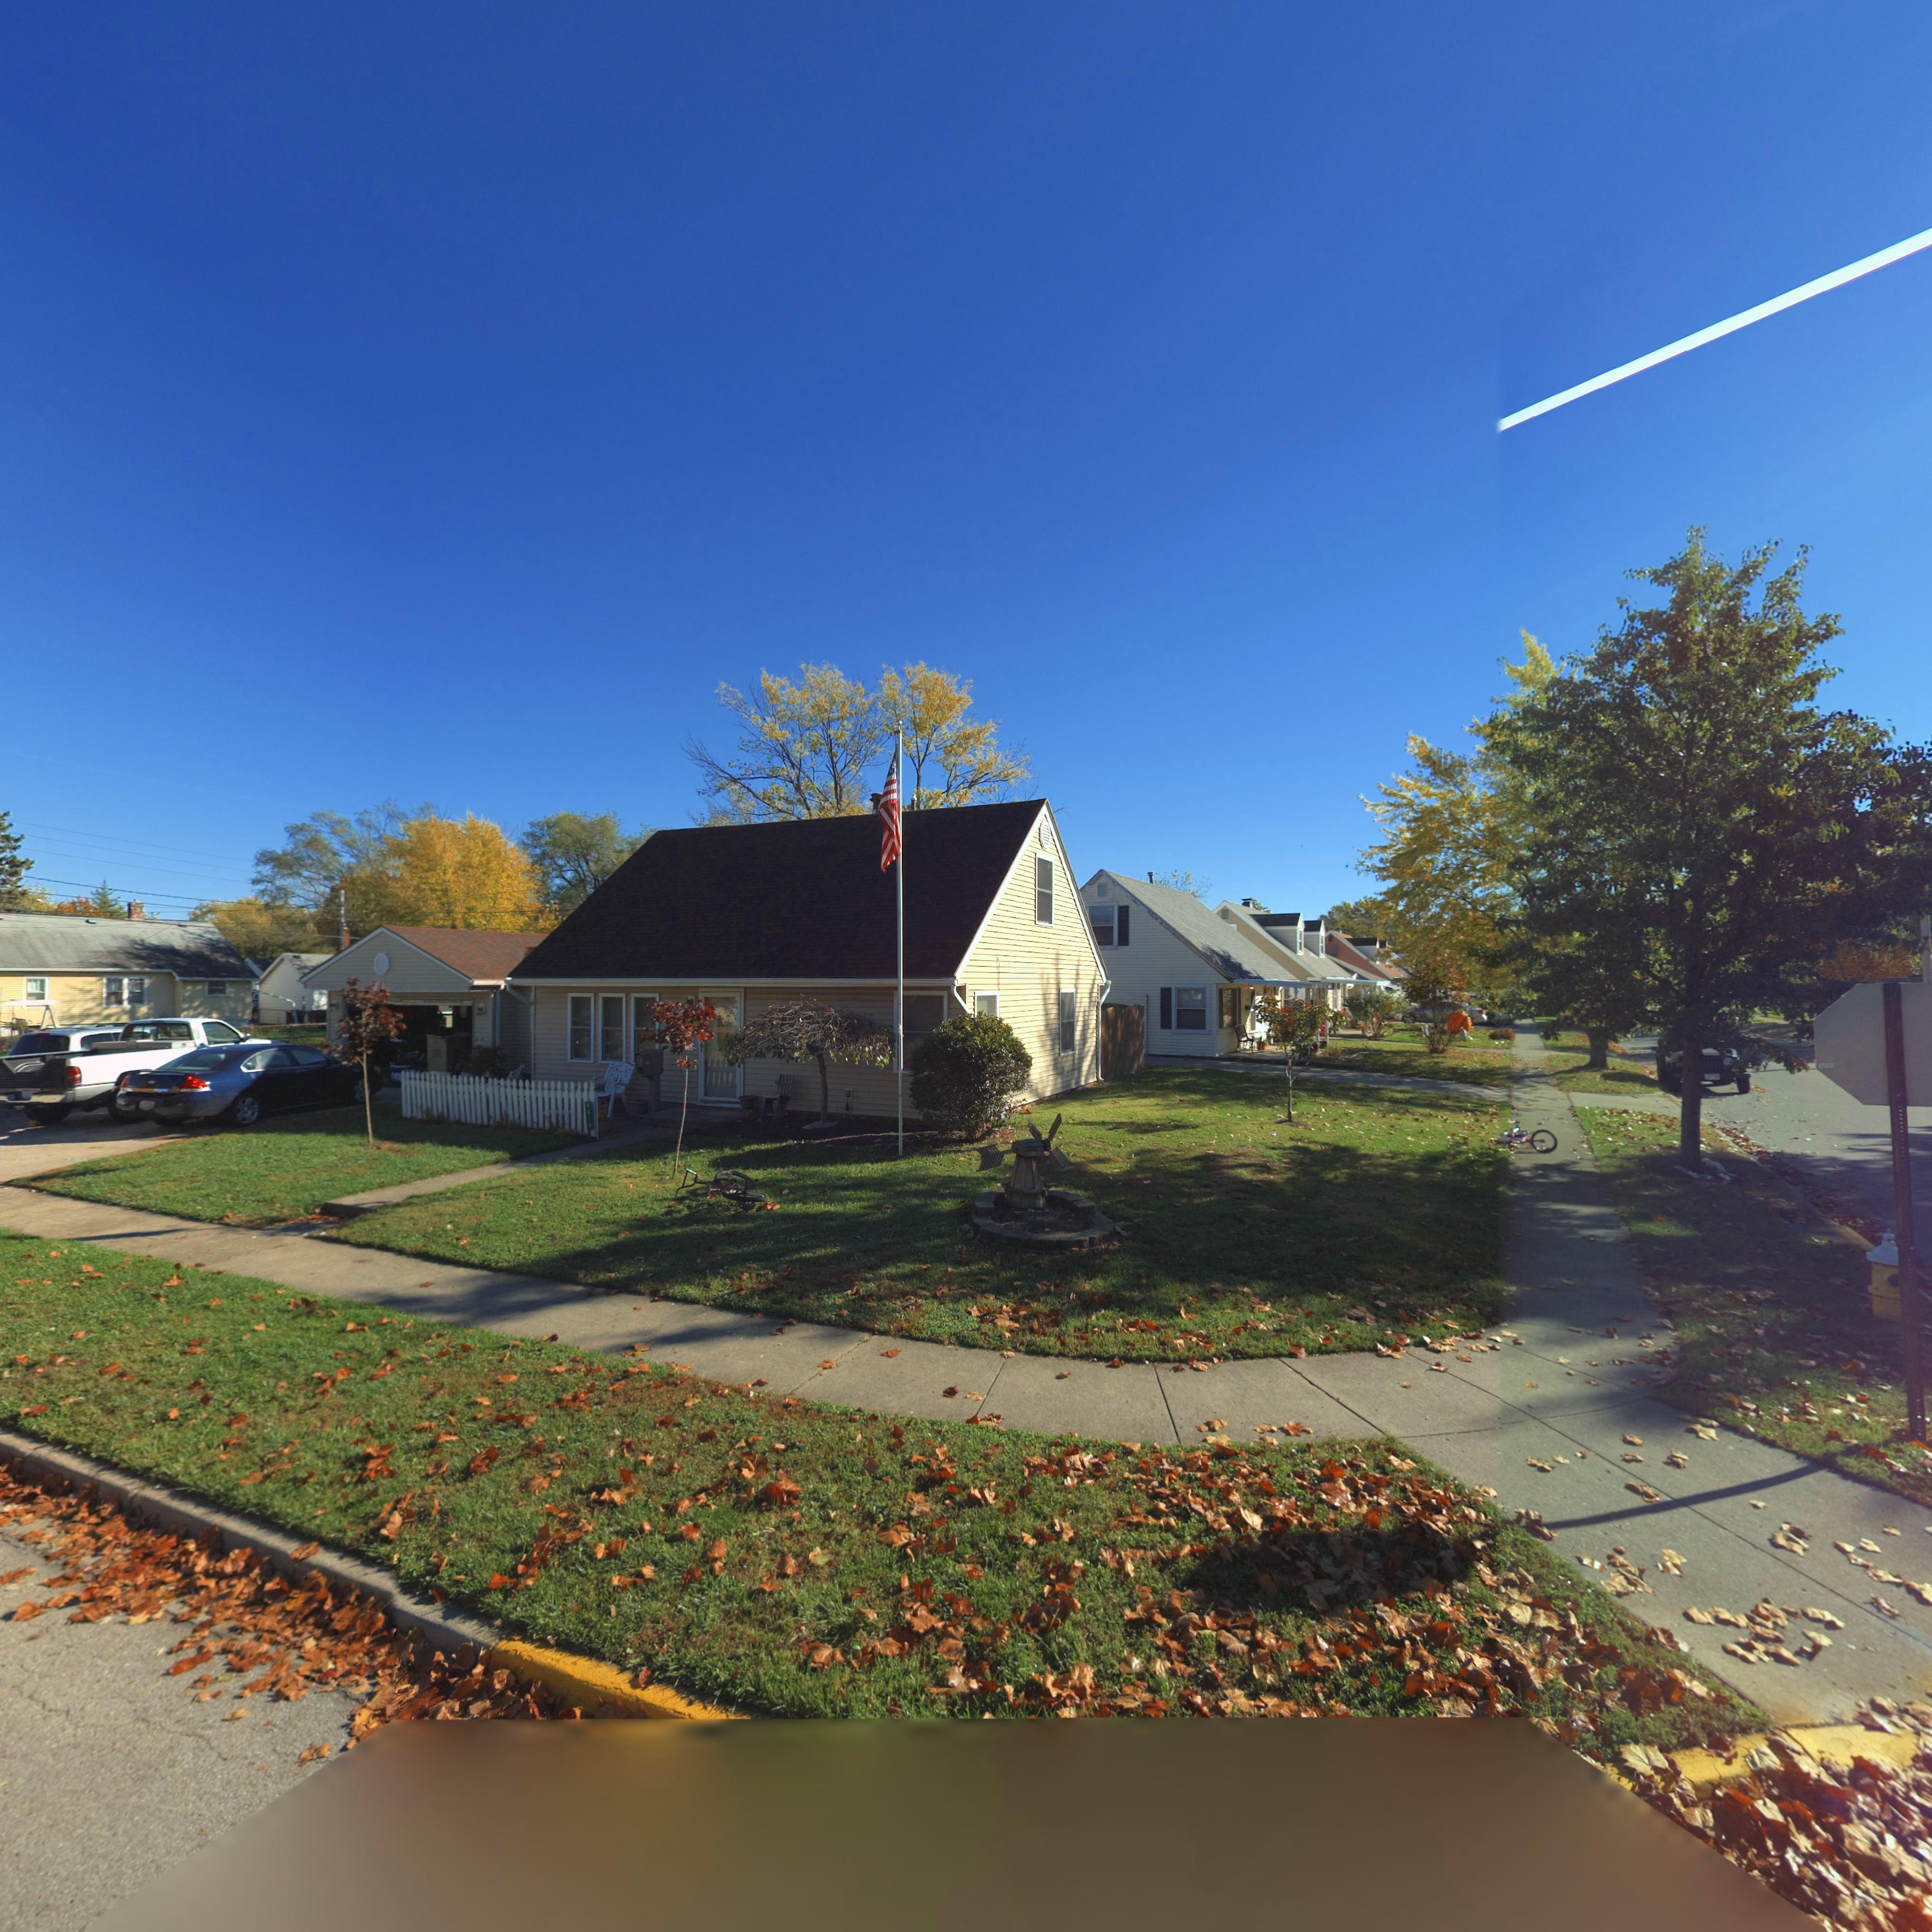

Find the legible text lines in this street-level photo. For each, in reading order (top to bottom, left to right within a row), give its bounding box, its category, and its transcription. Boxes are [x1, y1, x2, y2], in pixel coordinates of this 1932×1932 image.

[586, 1102, 592, 1129] StreetNumber: 4*1*